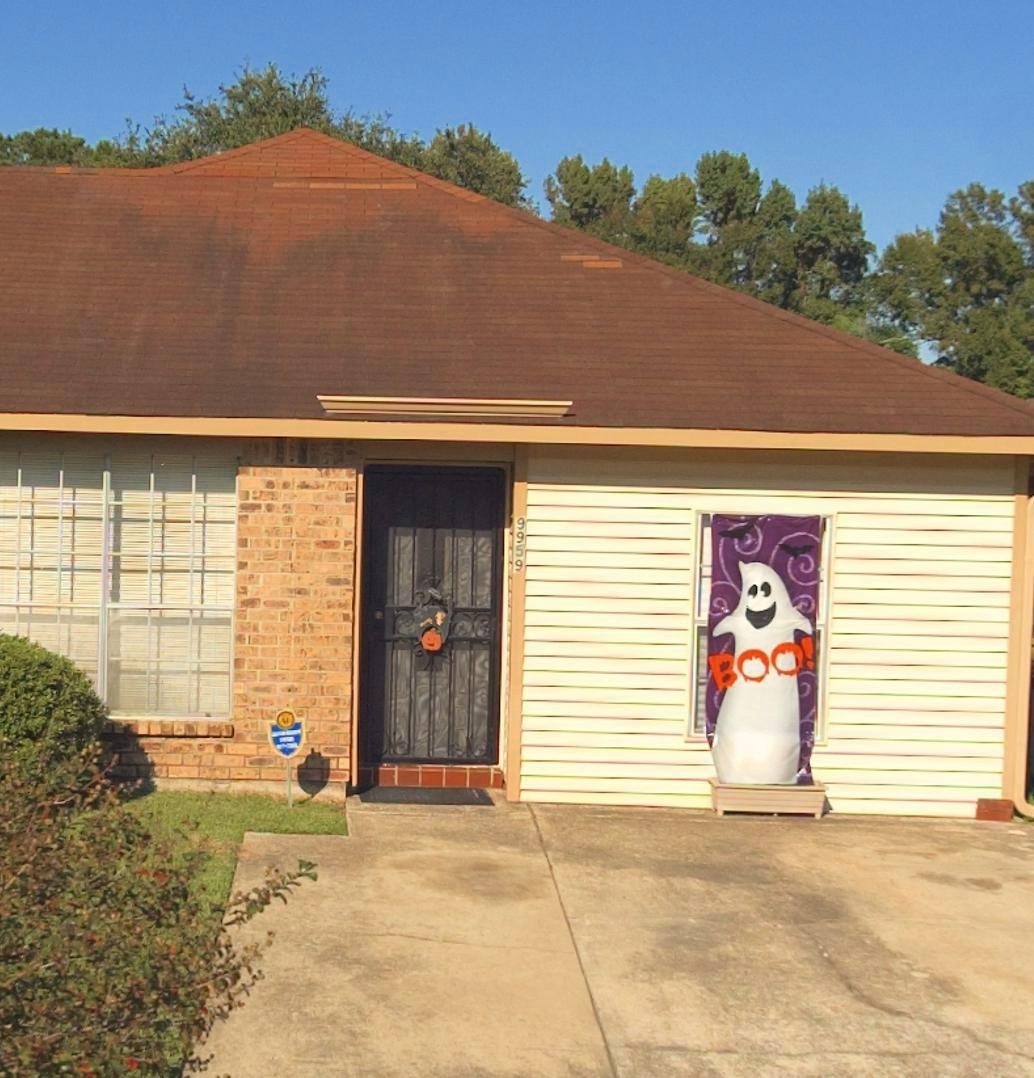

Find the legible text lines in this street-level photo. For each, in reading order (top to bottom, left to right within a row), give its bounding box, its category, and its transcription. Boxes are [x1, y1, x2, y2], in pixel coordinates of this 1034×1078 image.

[515, 517, 525, 571] StreetNumber: 9959
[705, 635, 816, 693] None: BOO!